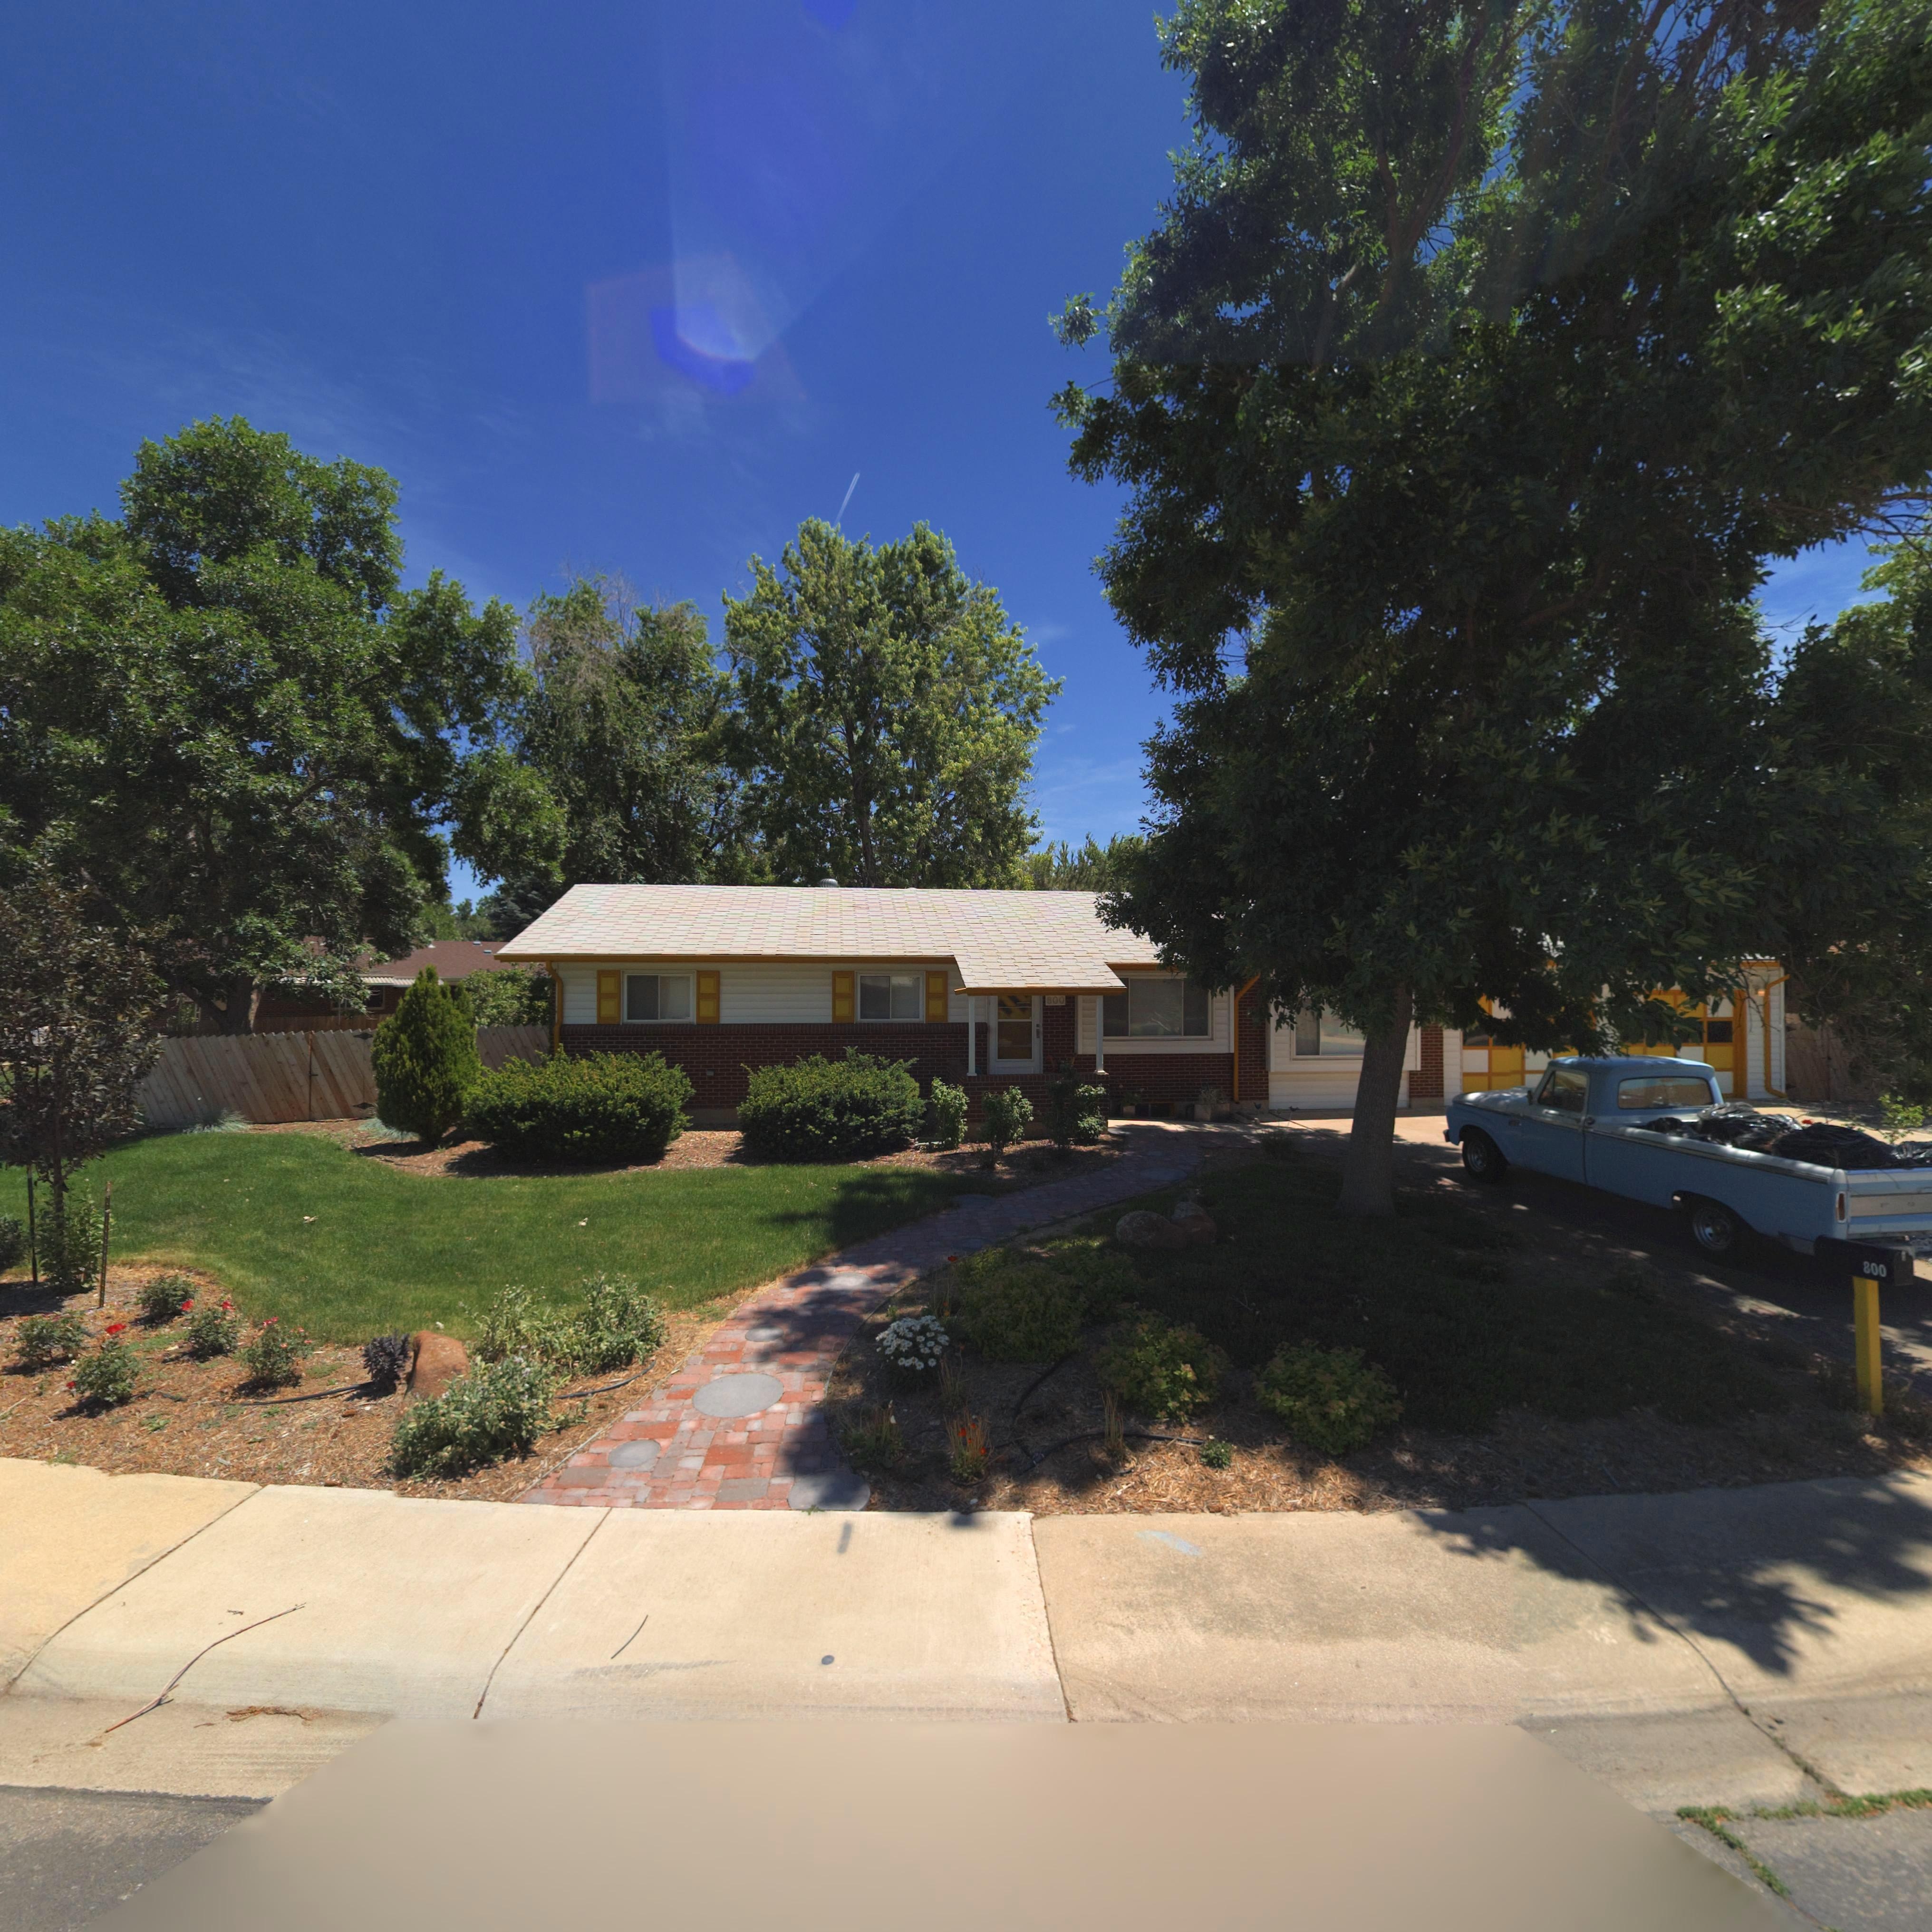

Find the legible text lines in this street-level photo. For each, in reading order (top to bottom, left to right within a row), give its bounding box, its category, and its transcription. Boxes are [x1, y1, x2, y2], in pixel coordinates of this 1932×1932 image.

[1046, 996, 1064, 1004] StreetNumber: 800
[1863, 1260, 1886, 1277] StreetNumber: 800